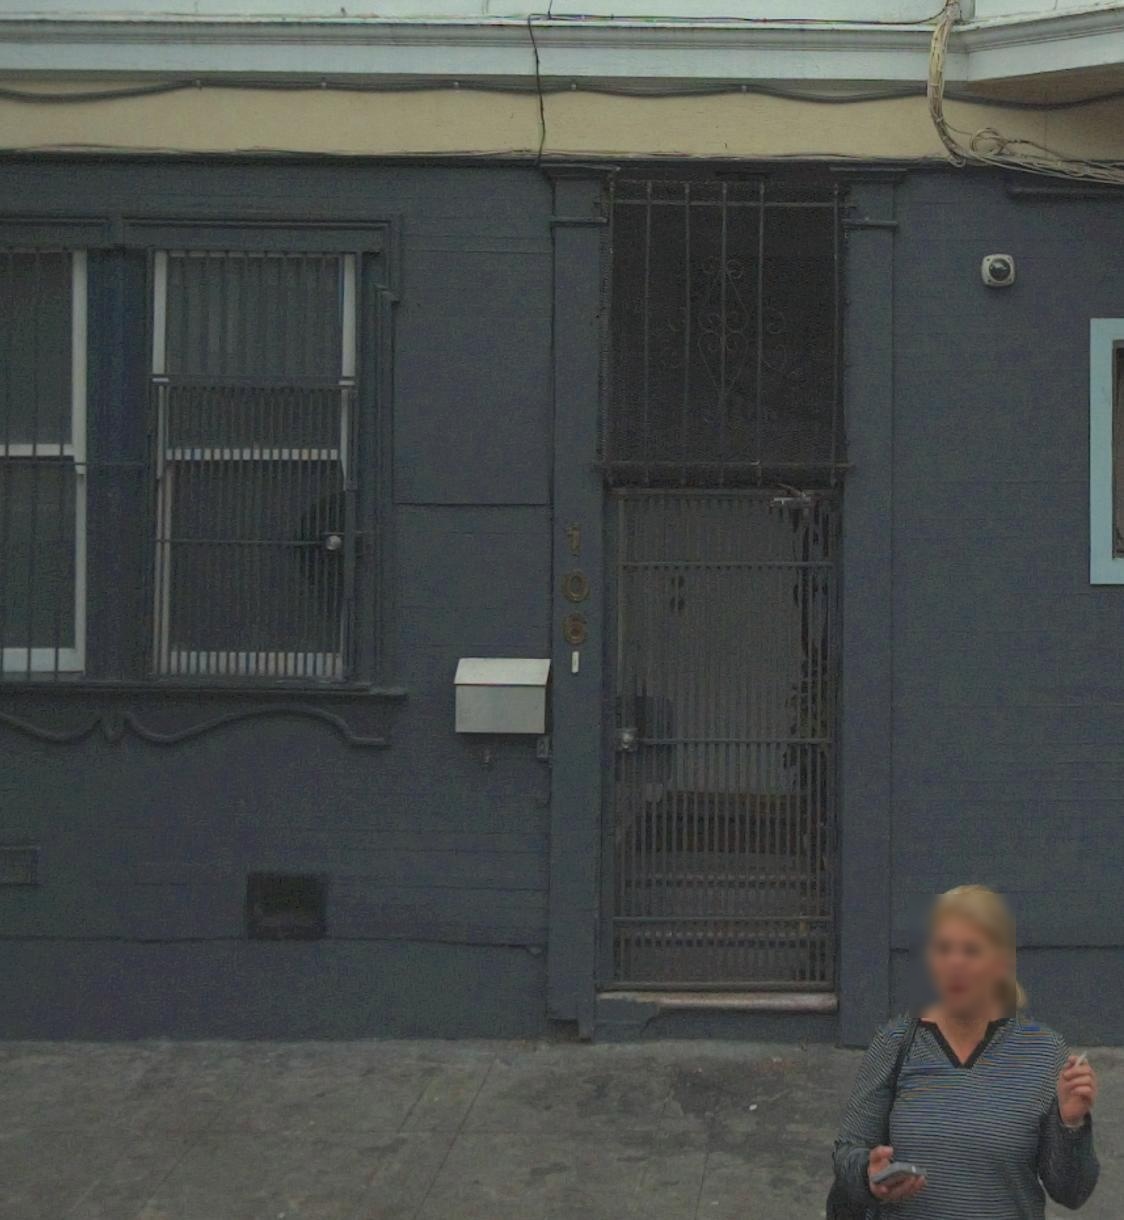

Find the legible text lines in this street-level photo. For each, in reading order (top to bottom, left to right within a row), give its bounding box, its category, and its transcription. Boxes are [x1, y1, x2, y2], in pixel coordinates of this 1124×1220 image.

[561, 516, 591, 647] StreetNumber: 106